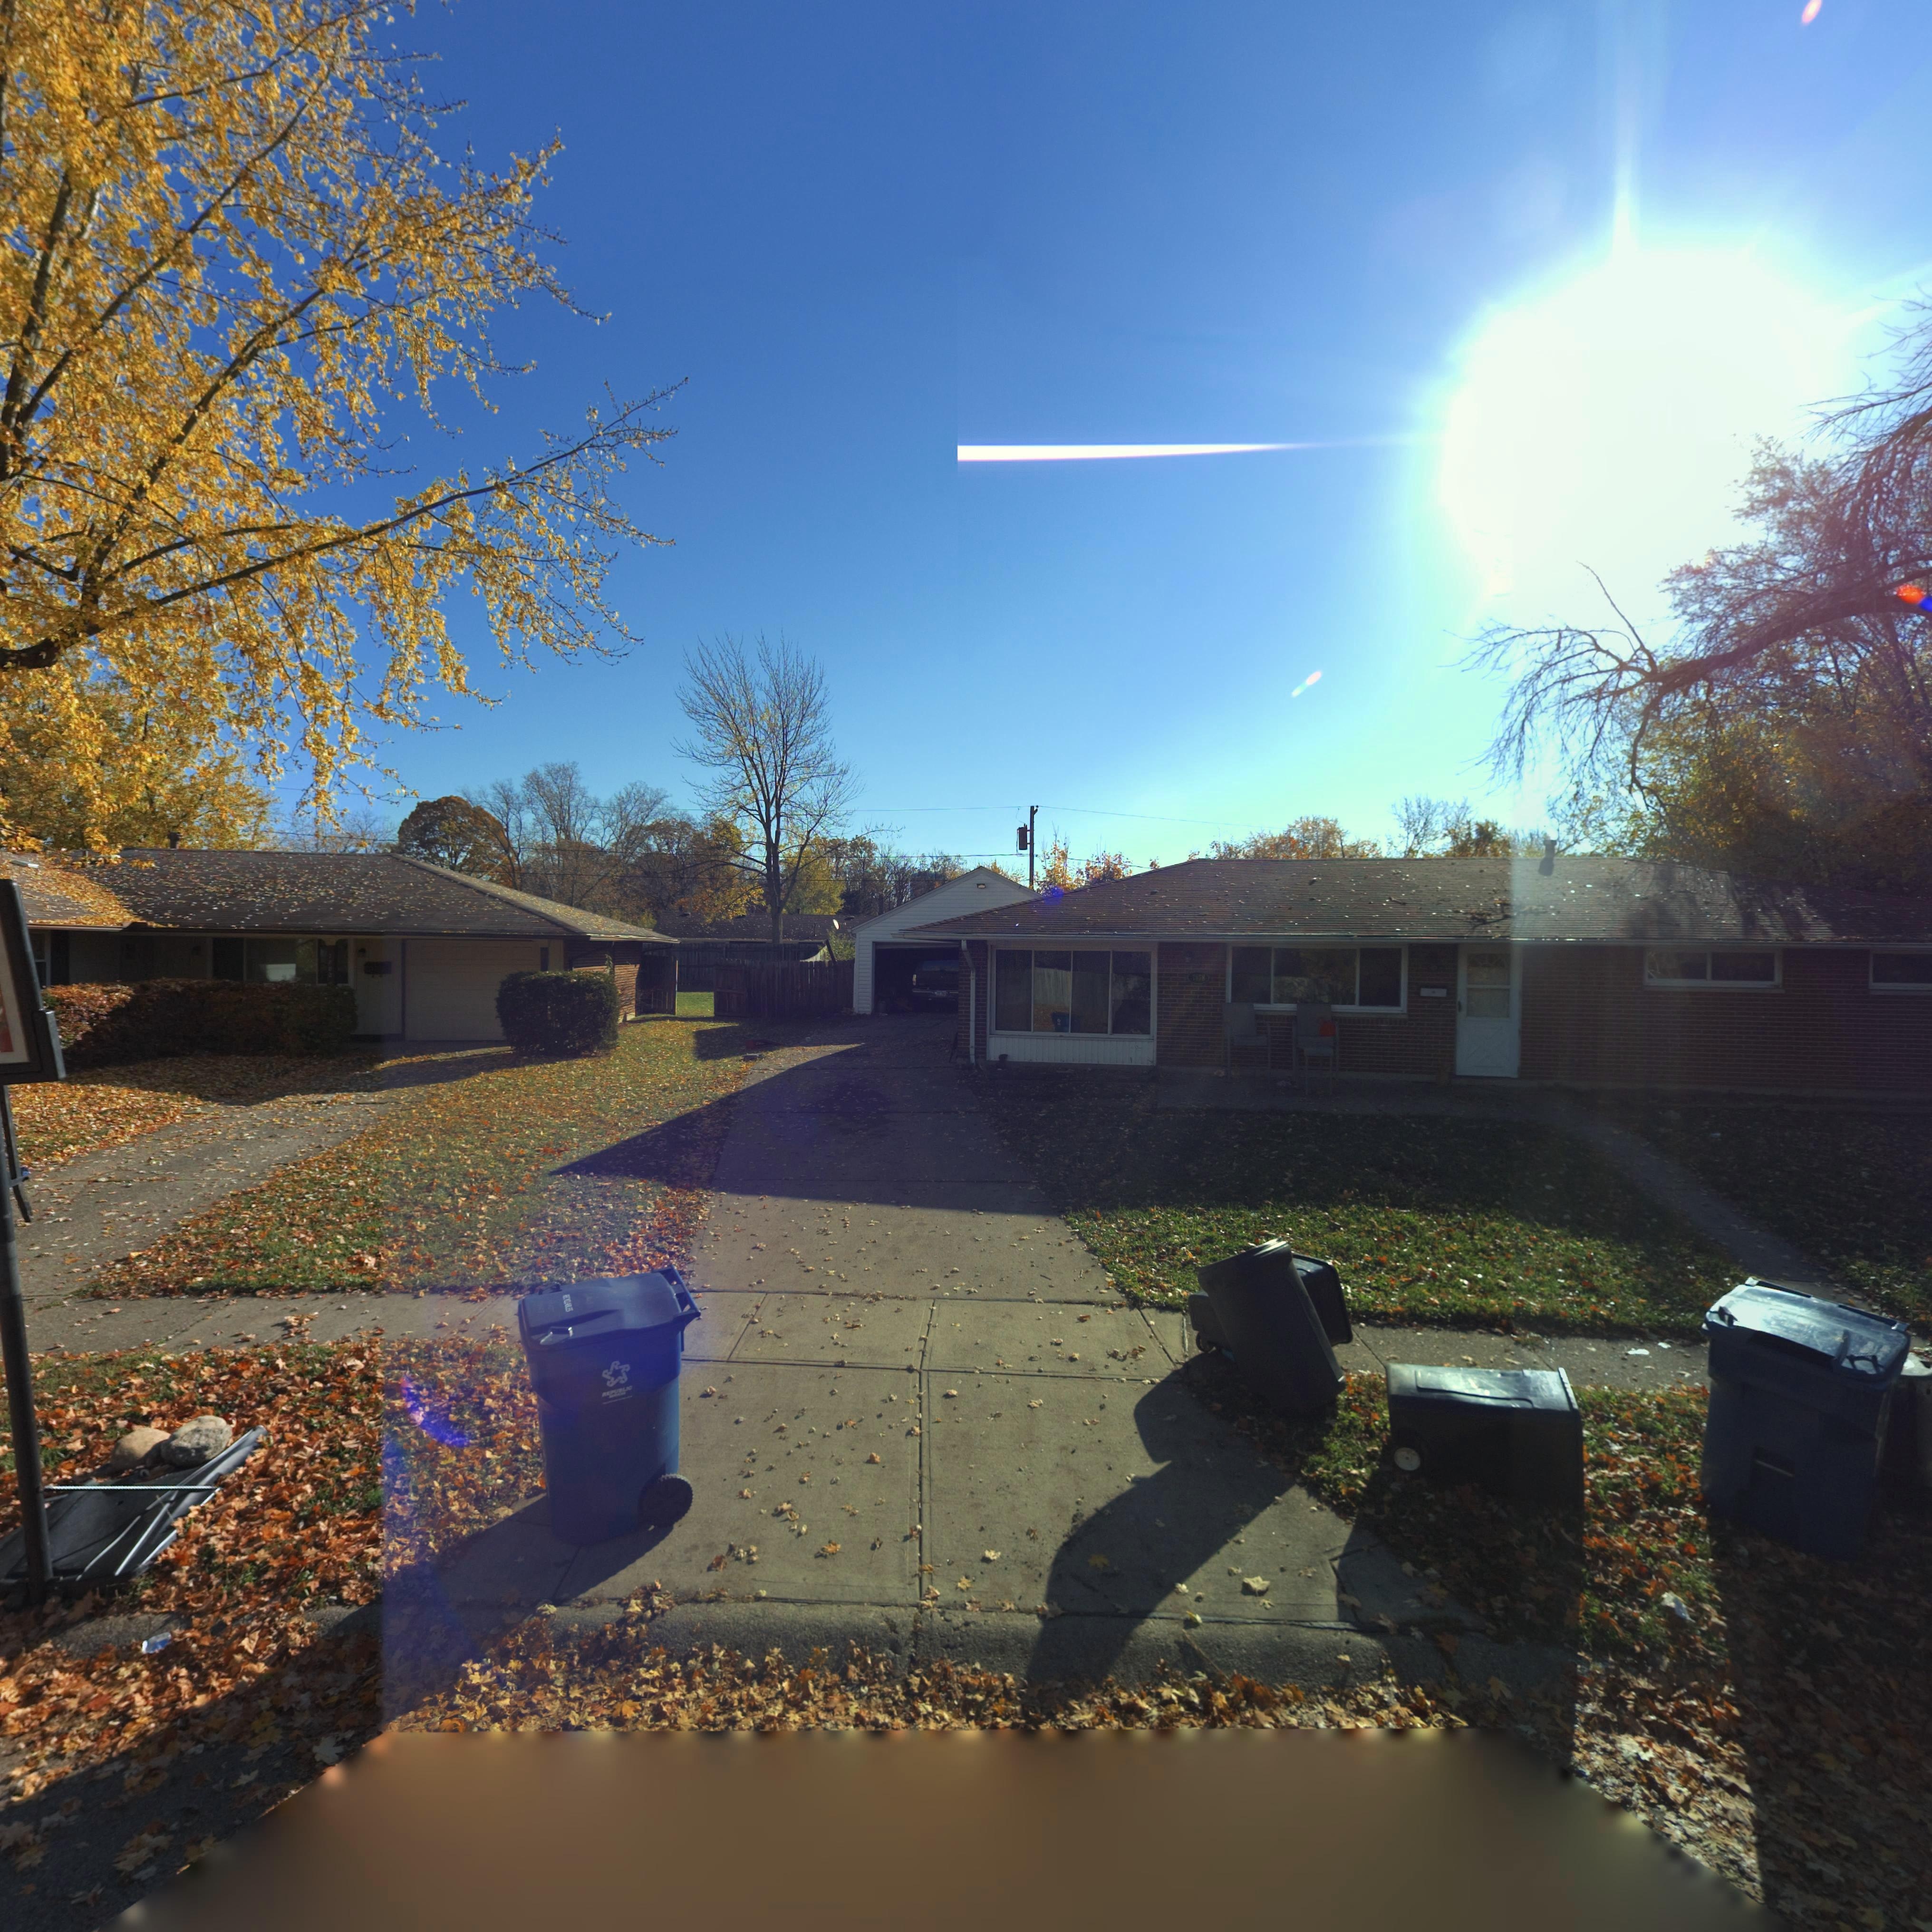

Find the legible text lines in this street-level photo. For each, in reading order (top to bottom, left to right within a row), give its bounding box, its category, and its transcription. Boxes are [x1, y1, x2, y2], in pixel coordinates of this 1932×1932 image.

[328, 953, 332, 978] StreetNumber: 7882
[1191, 974, 1206, 982] StreetNumber: 7878